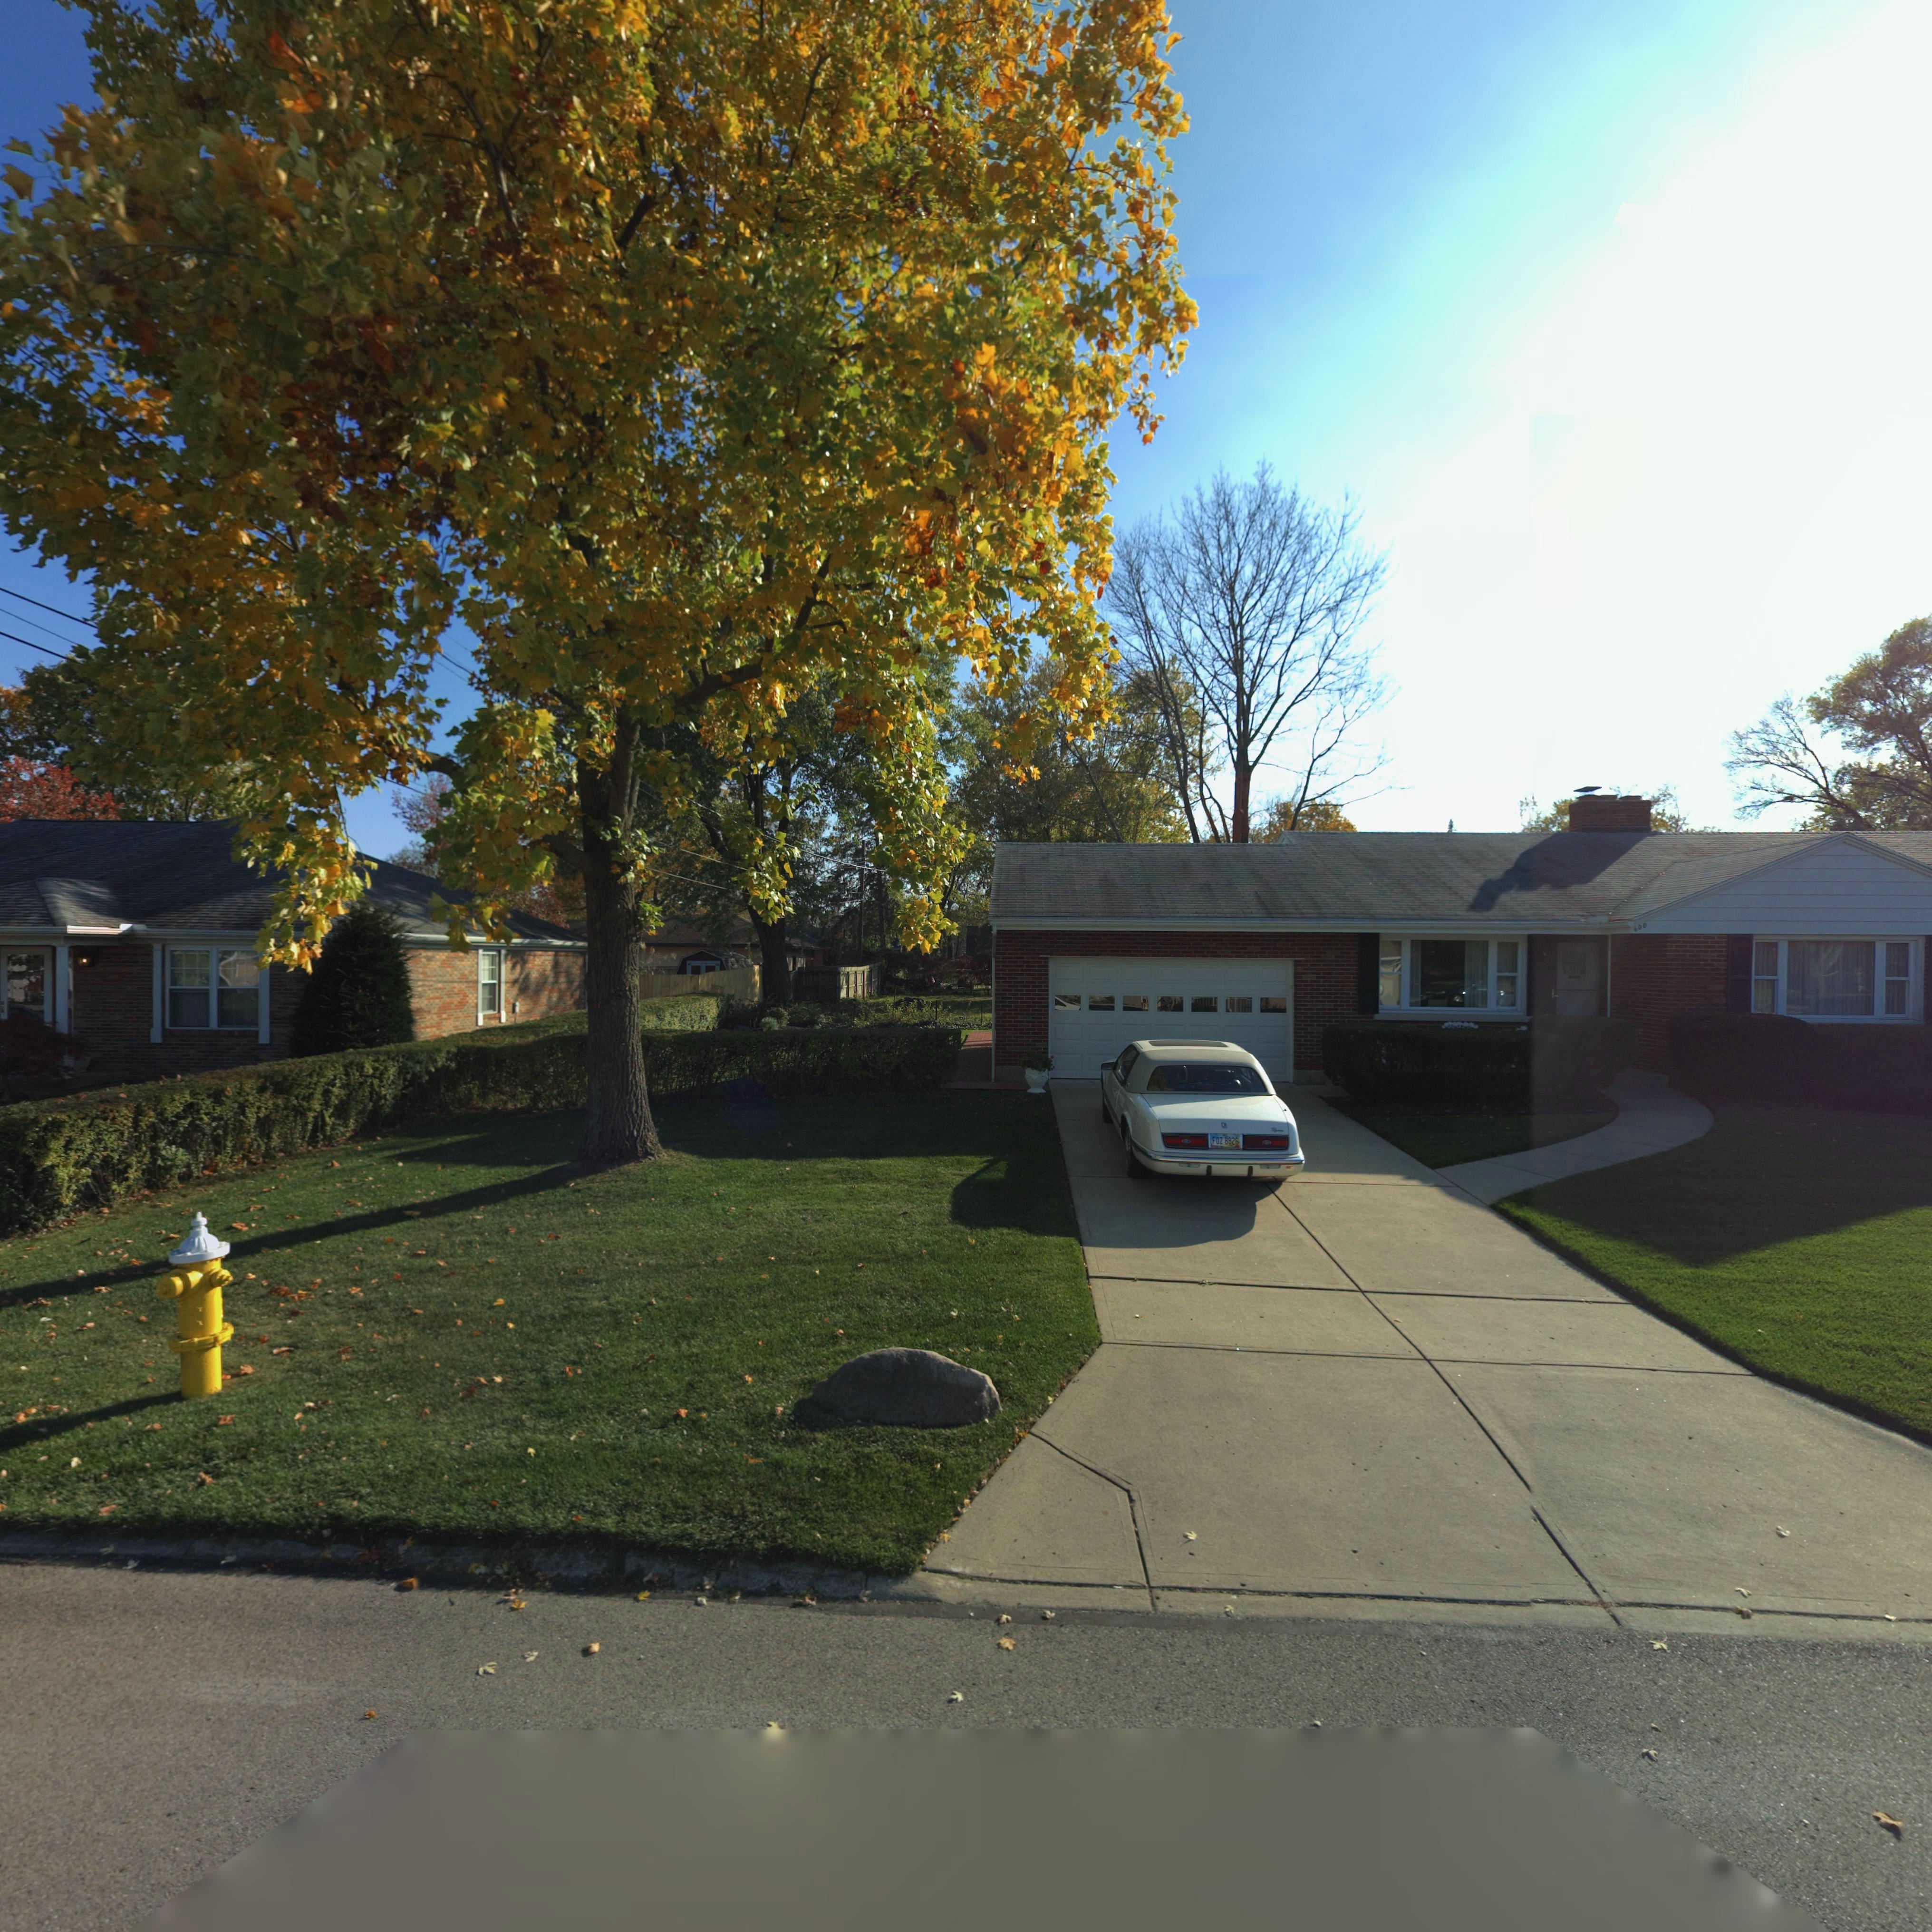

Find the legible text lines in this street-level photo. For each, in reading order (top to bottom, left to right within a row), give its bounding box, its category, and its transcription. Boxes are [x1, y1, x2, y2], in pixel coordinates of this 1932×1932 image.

[1633, 920, 1648, 933] StreetNumber: 600